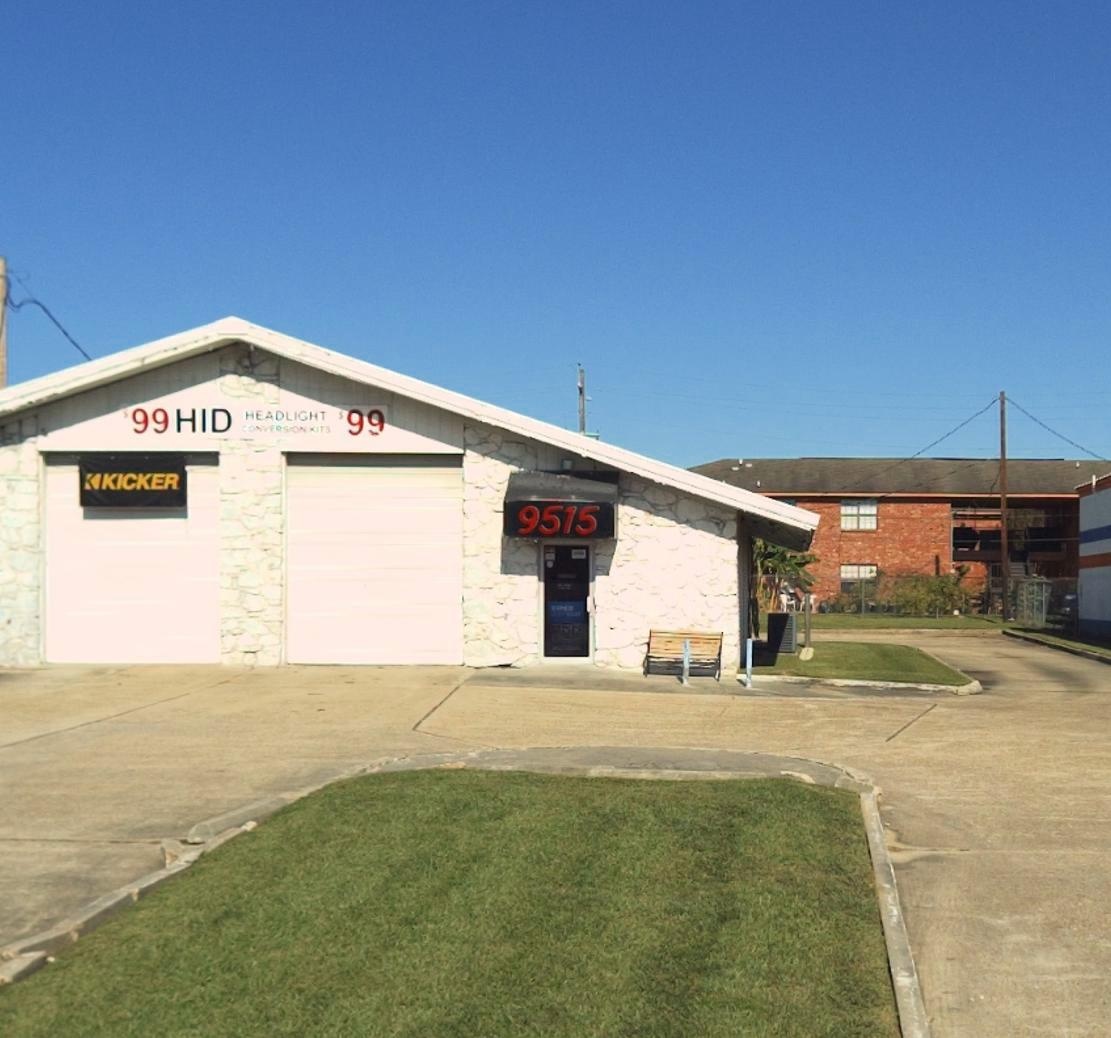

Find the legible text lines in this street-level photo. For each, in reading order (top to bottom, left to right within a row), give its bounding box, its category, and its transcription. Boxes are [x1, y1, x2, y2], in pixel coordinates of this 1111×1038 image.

[131, 406, 233, 435] None: 99 HID
[245, 410, 327, 422] None: HEADLIGHT
[240, 423, 332, 435] None: CONVERSION KITS
[346, 407, 385, 437] None: 99
[100, 472, 181, 491] None: KICKER
[517, 504, 602, 536] StreetNumber: 9515